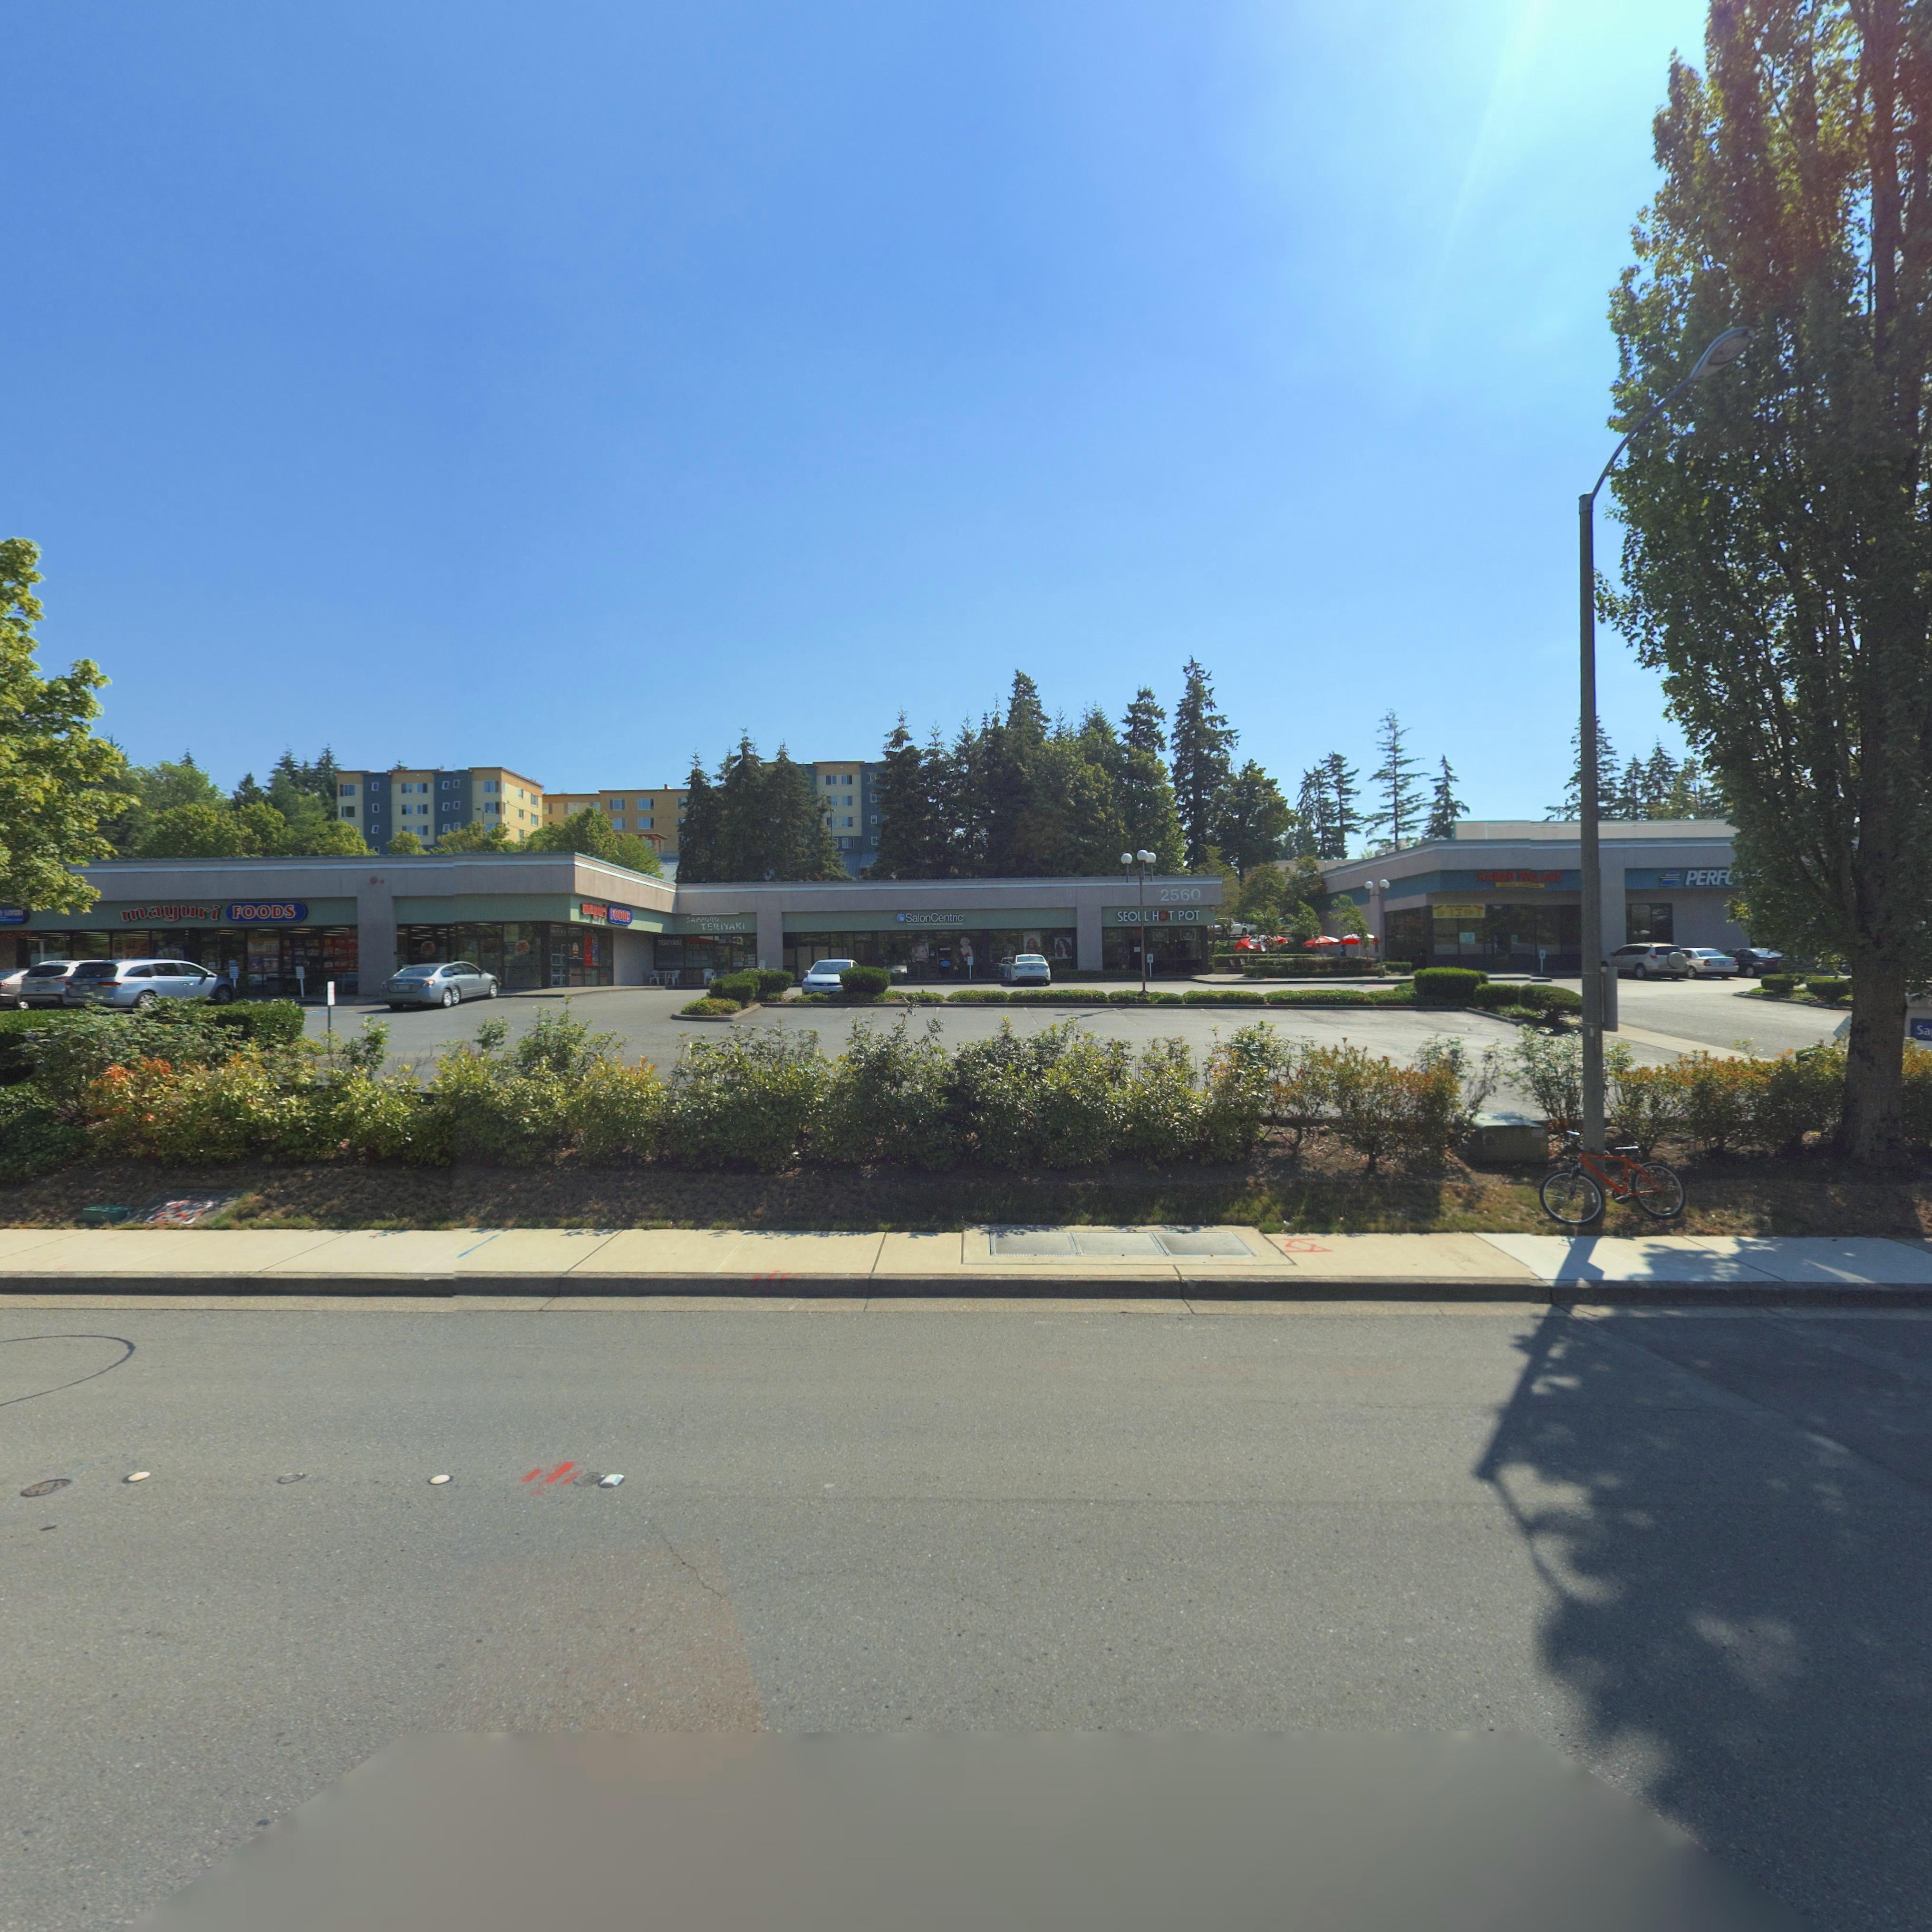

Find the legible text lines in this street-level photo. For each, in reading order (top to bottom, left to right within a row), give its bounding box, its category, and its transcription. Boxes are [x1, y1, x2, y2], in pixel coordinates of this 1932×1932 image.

[1684, 869, 1729, 886] BusinessName: PERF
[1160, 888, 1200, 901] StreetNumber: 2560
[119, 903, 222, 924] BusinessName: mayuri
[231, 904, 296, 919] BusinessName: FOODS
[610, 908, 631, 922] BusinessName: FOODS
[686, 916, 719, 923] BusinessName: SAPPORO
[905, 912, 964, 922] BusinessName: SalonCentric
[1117, 910, 1200, 922] BusinessName: SEO*L HOT POT
[700, 922, 745, 931] BusinessName: TERIYAKI